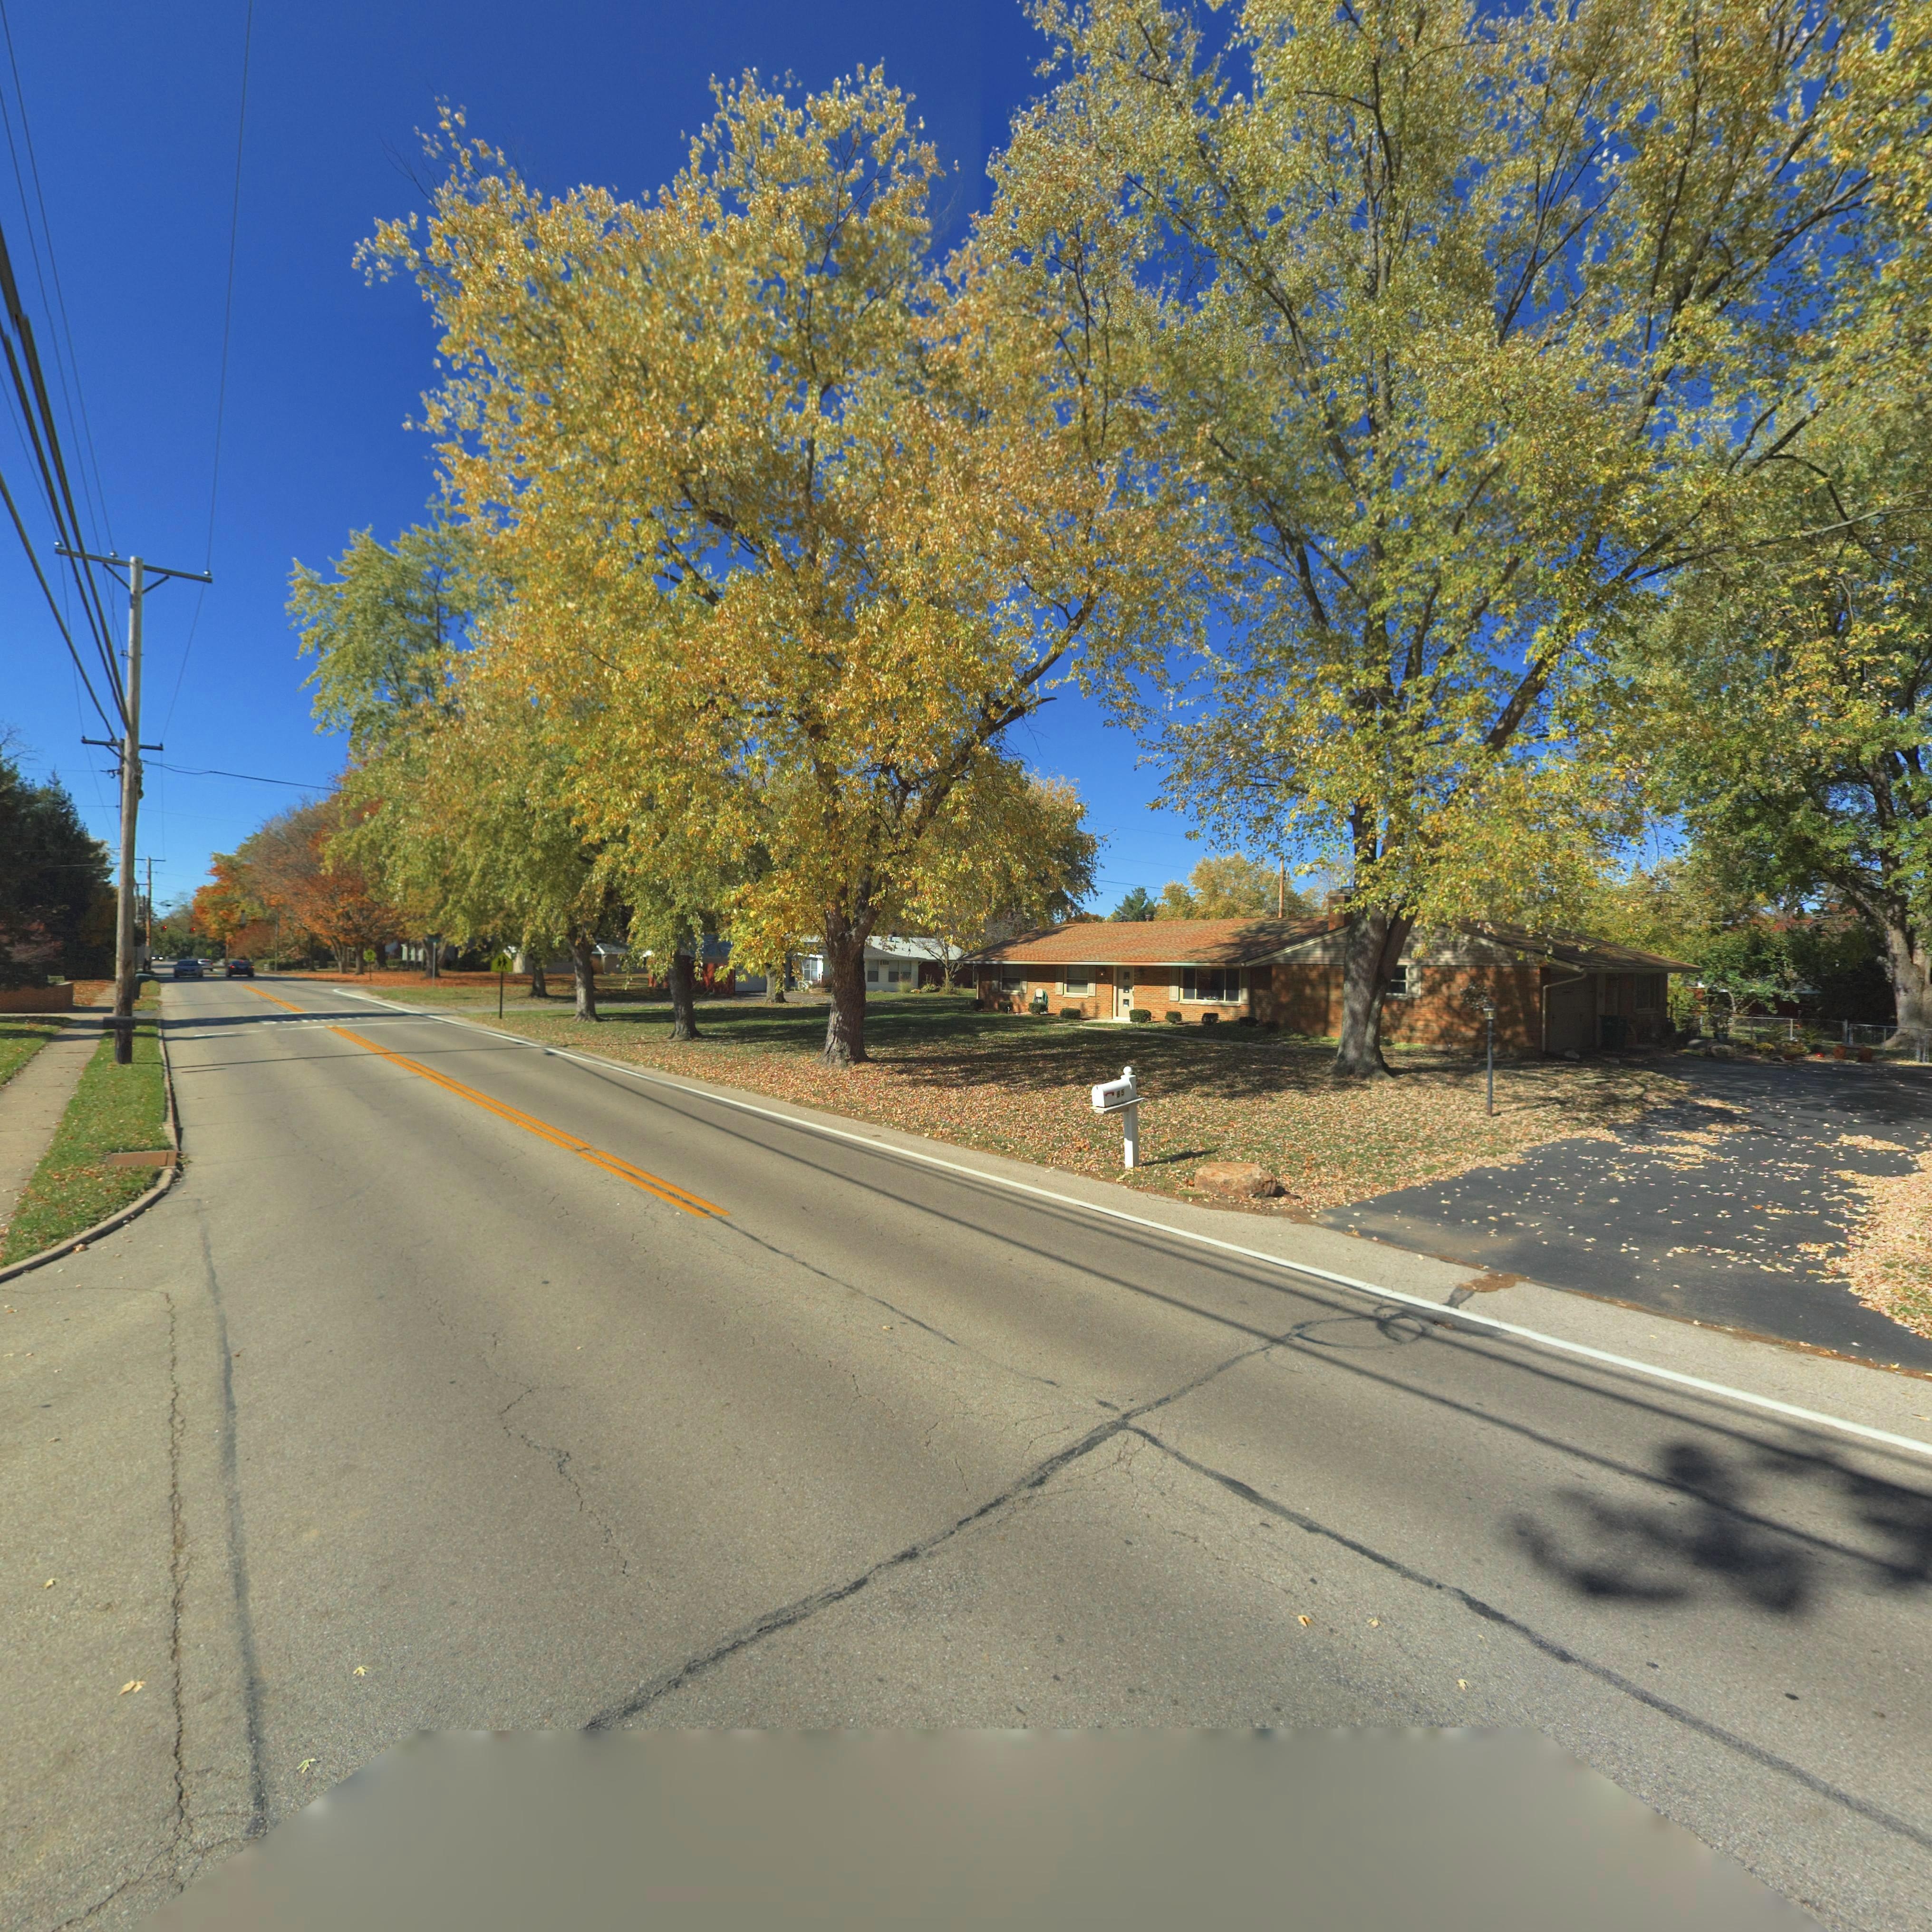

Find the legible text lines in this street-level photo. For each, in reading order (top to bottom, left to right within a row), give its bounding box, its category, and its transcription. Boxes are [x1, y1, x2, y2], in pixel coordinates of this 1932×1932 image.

[1104, 979, 1109, 985] StreetNumber: 5
[1116, 1088, 1125, 1099] StreetNumber: 85